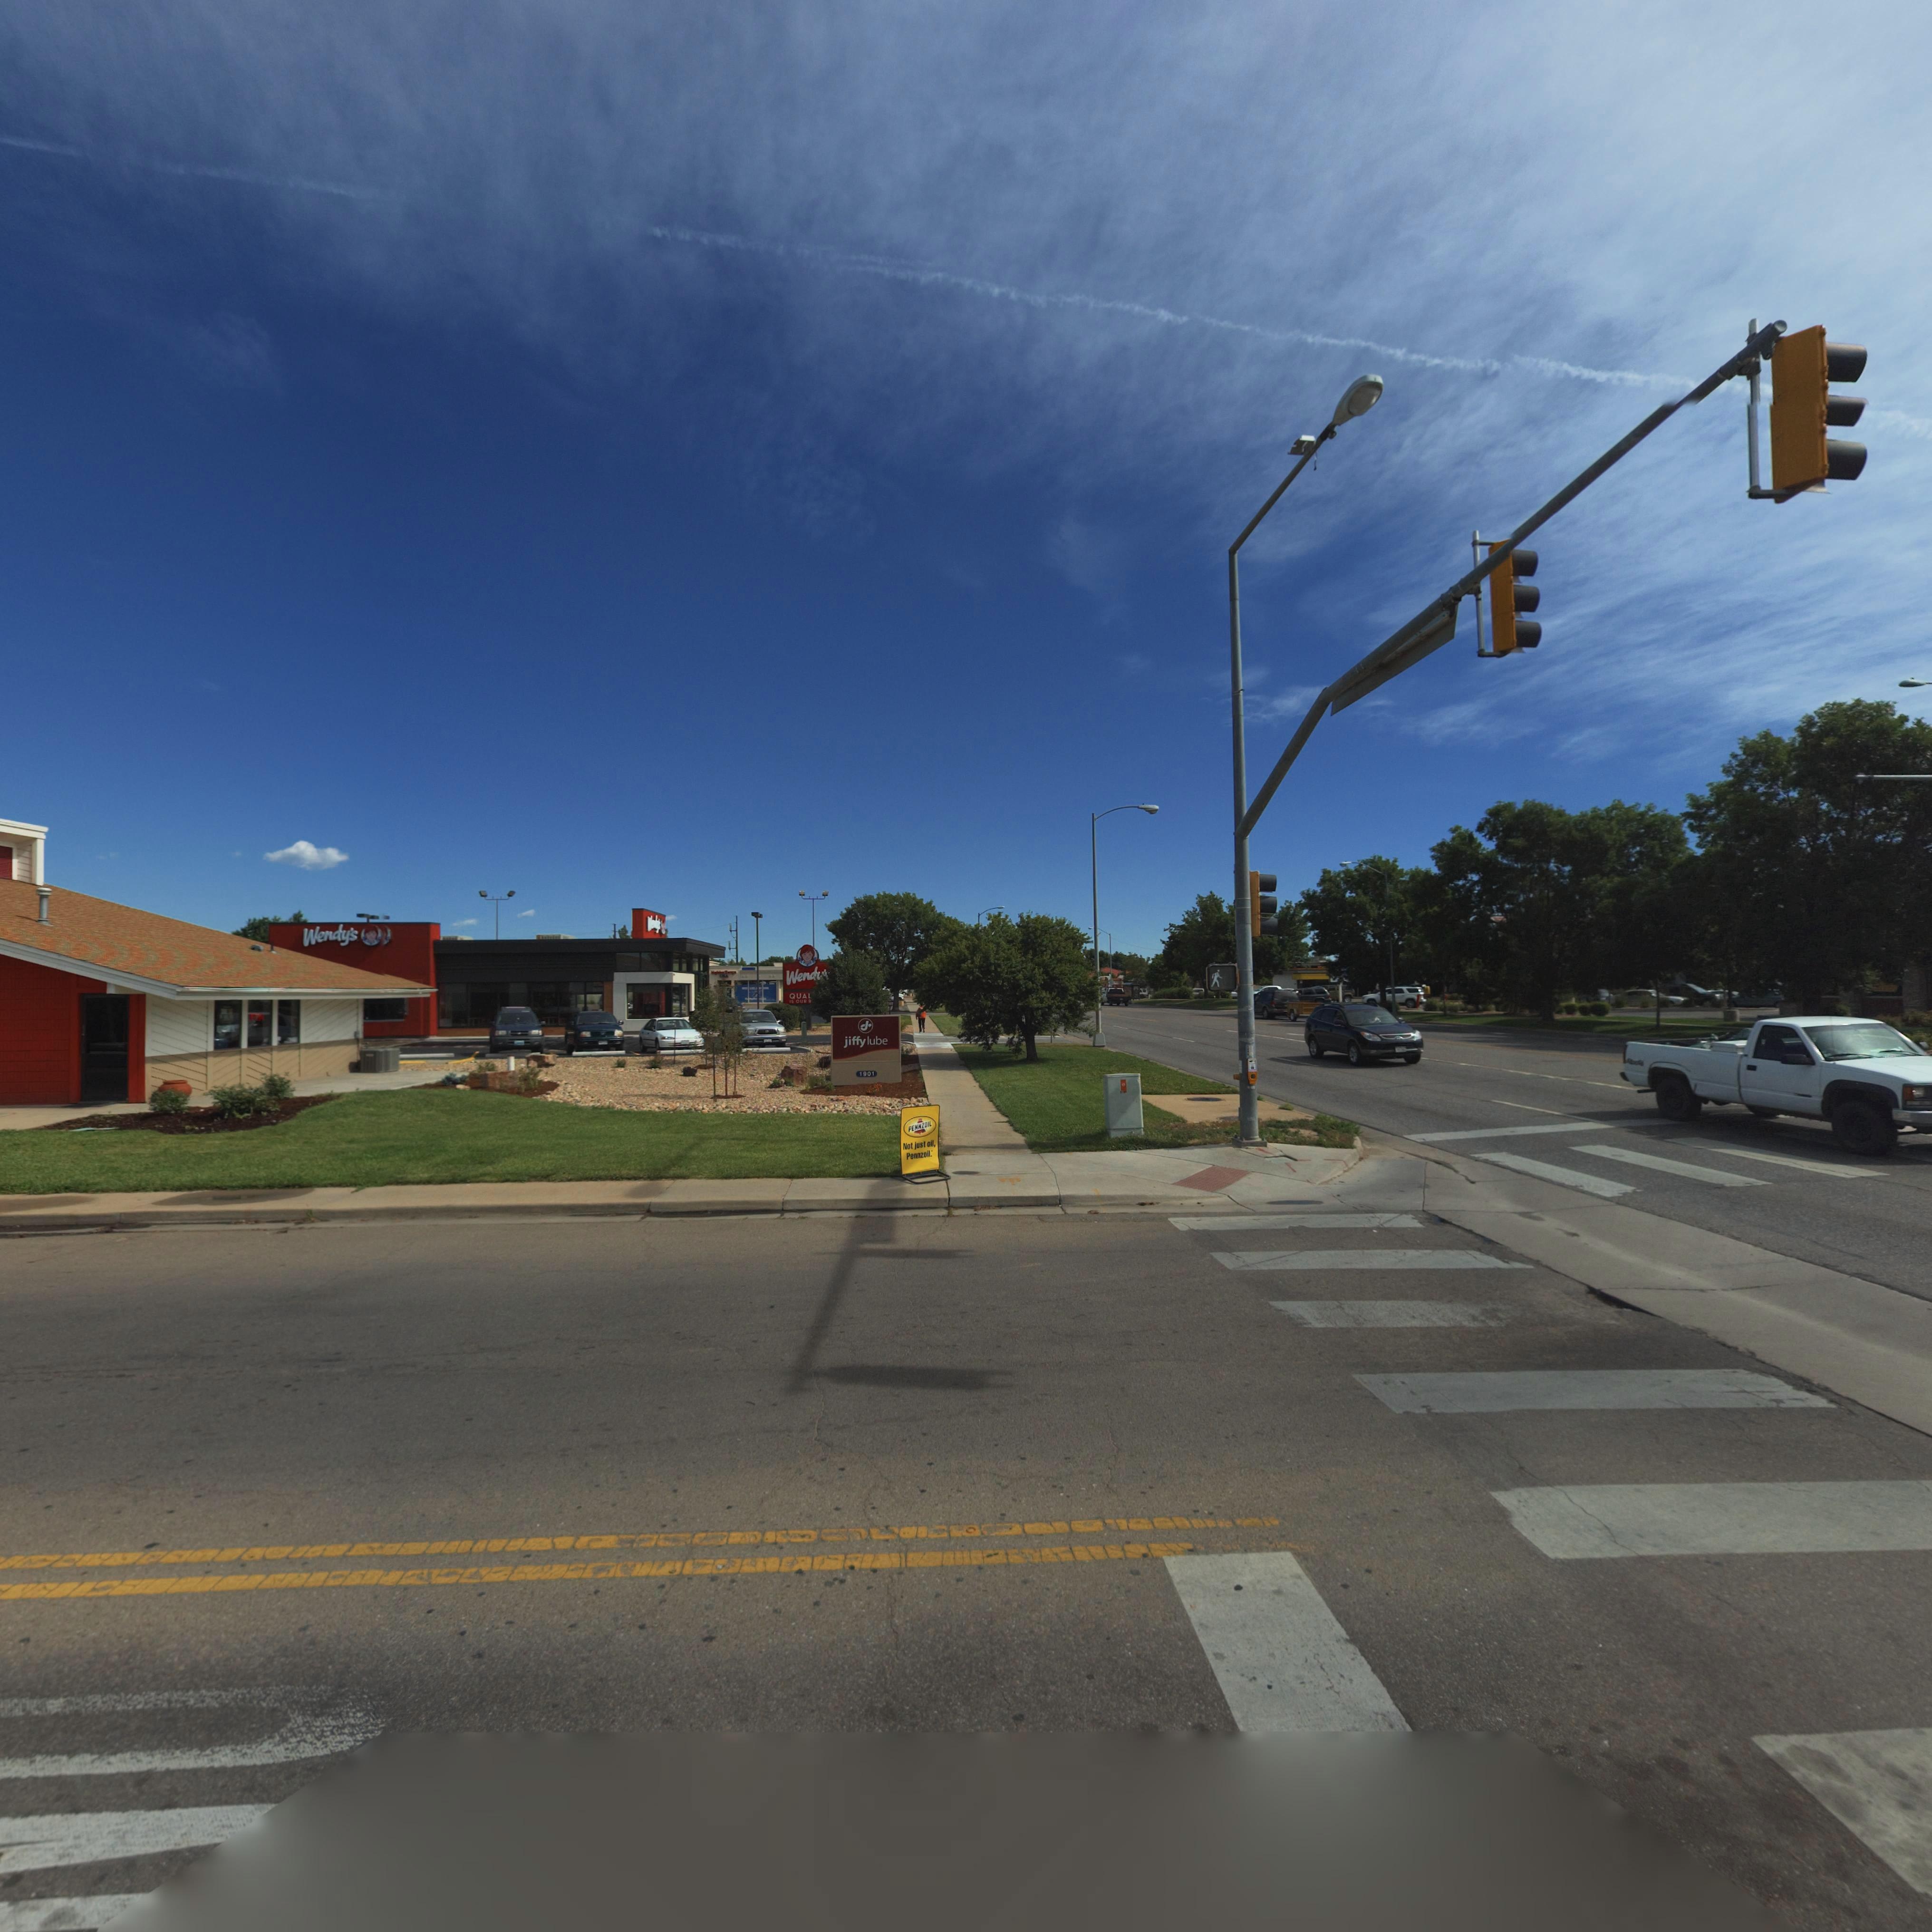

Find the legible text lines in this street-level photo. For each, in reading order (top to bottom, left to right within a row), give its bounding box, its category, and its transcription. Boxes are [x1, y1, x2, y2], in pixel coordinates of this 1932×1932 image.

[302, 923, 358, 947] BusinessName: Wendy's
[786, 966, 824, 985] BusinessName: Wend*
[843, 1035, 888, 1048] StreetNumber: jiffy lube
[859, 1071, 874, 1076] StreetNumber: 1901